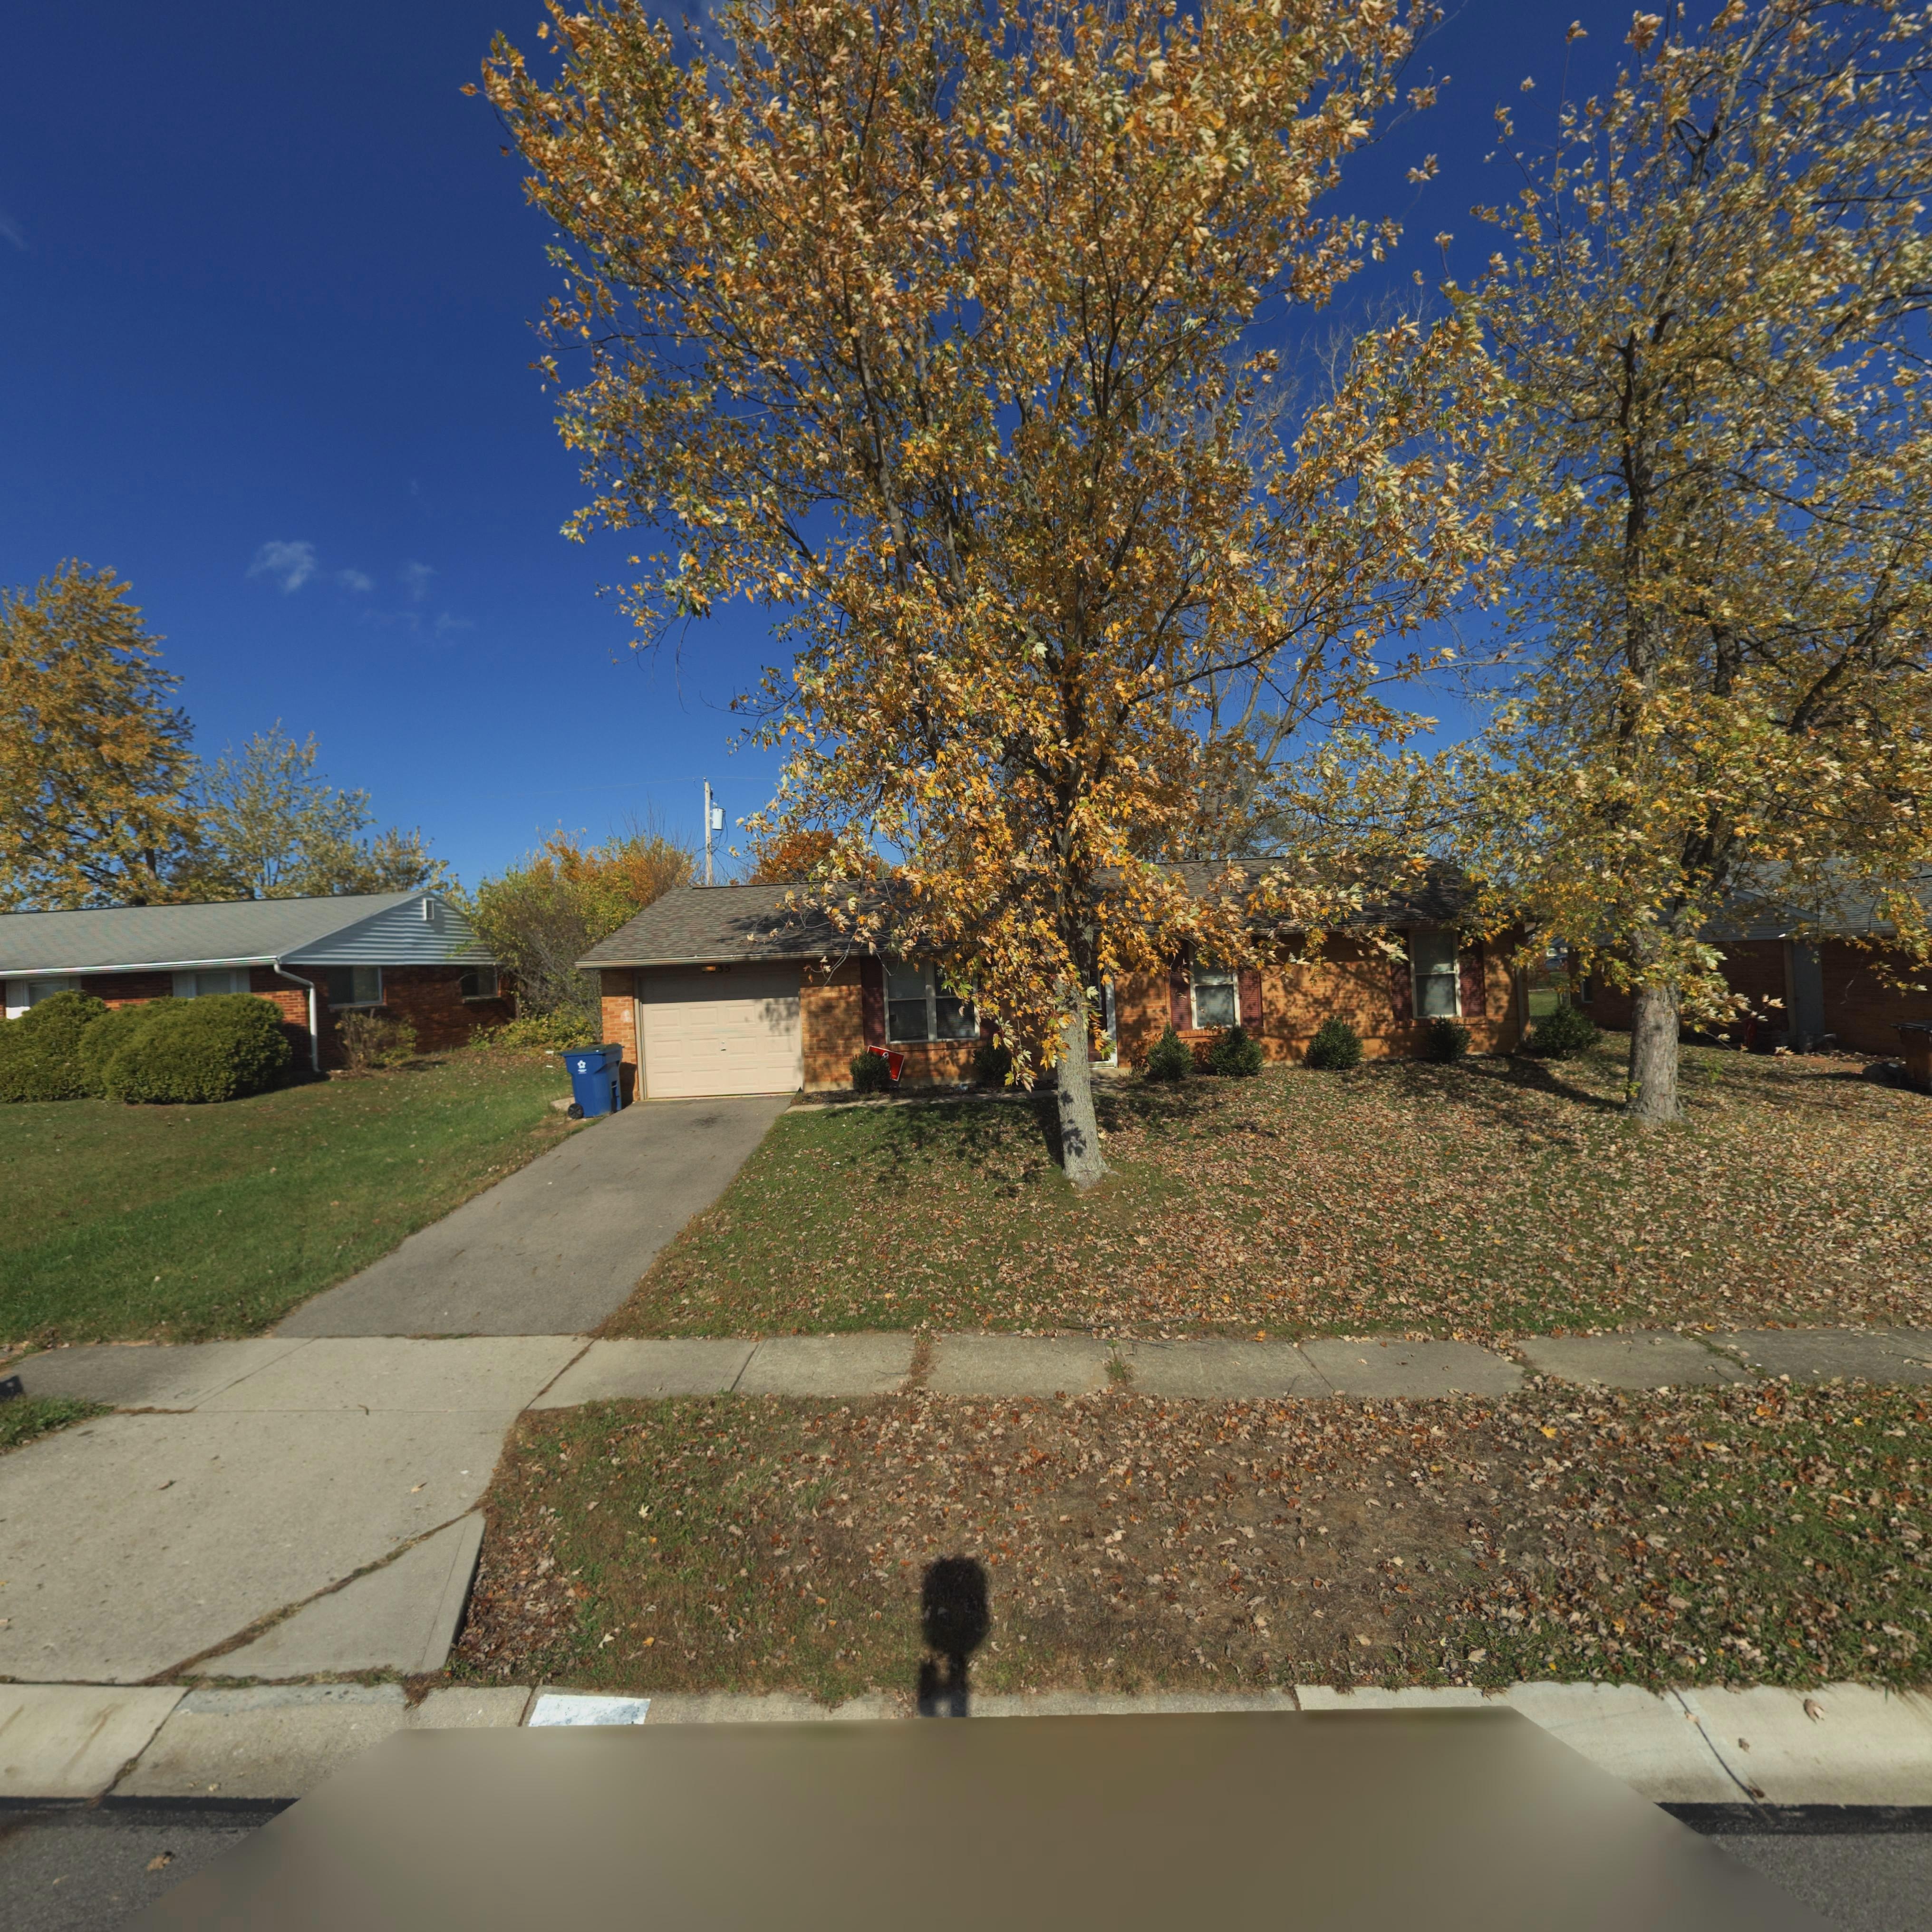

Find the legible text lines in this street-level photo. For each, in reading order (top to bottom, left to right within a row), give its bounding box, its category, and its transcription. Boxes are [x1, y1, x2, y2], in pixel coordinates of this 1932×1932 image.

[717, 963, 732, 975] StreetNumber: 35